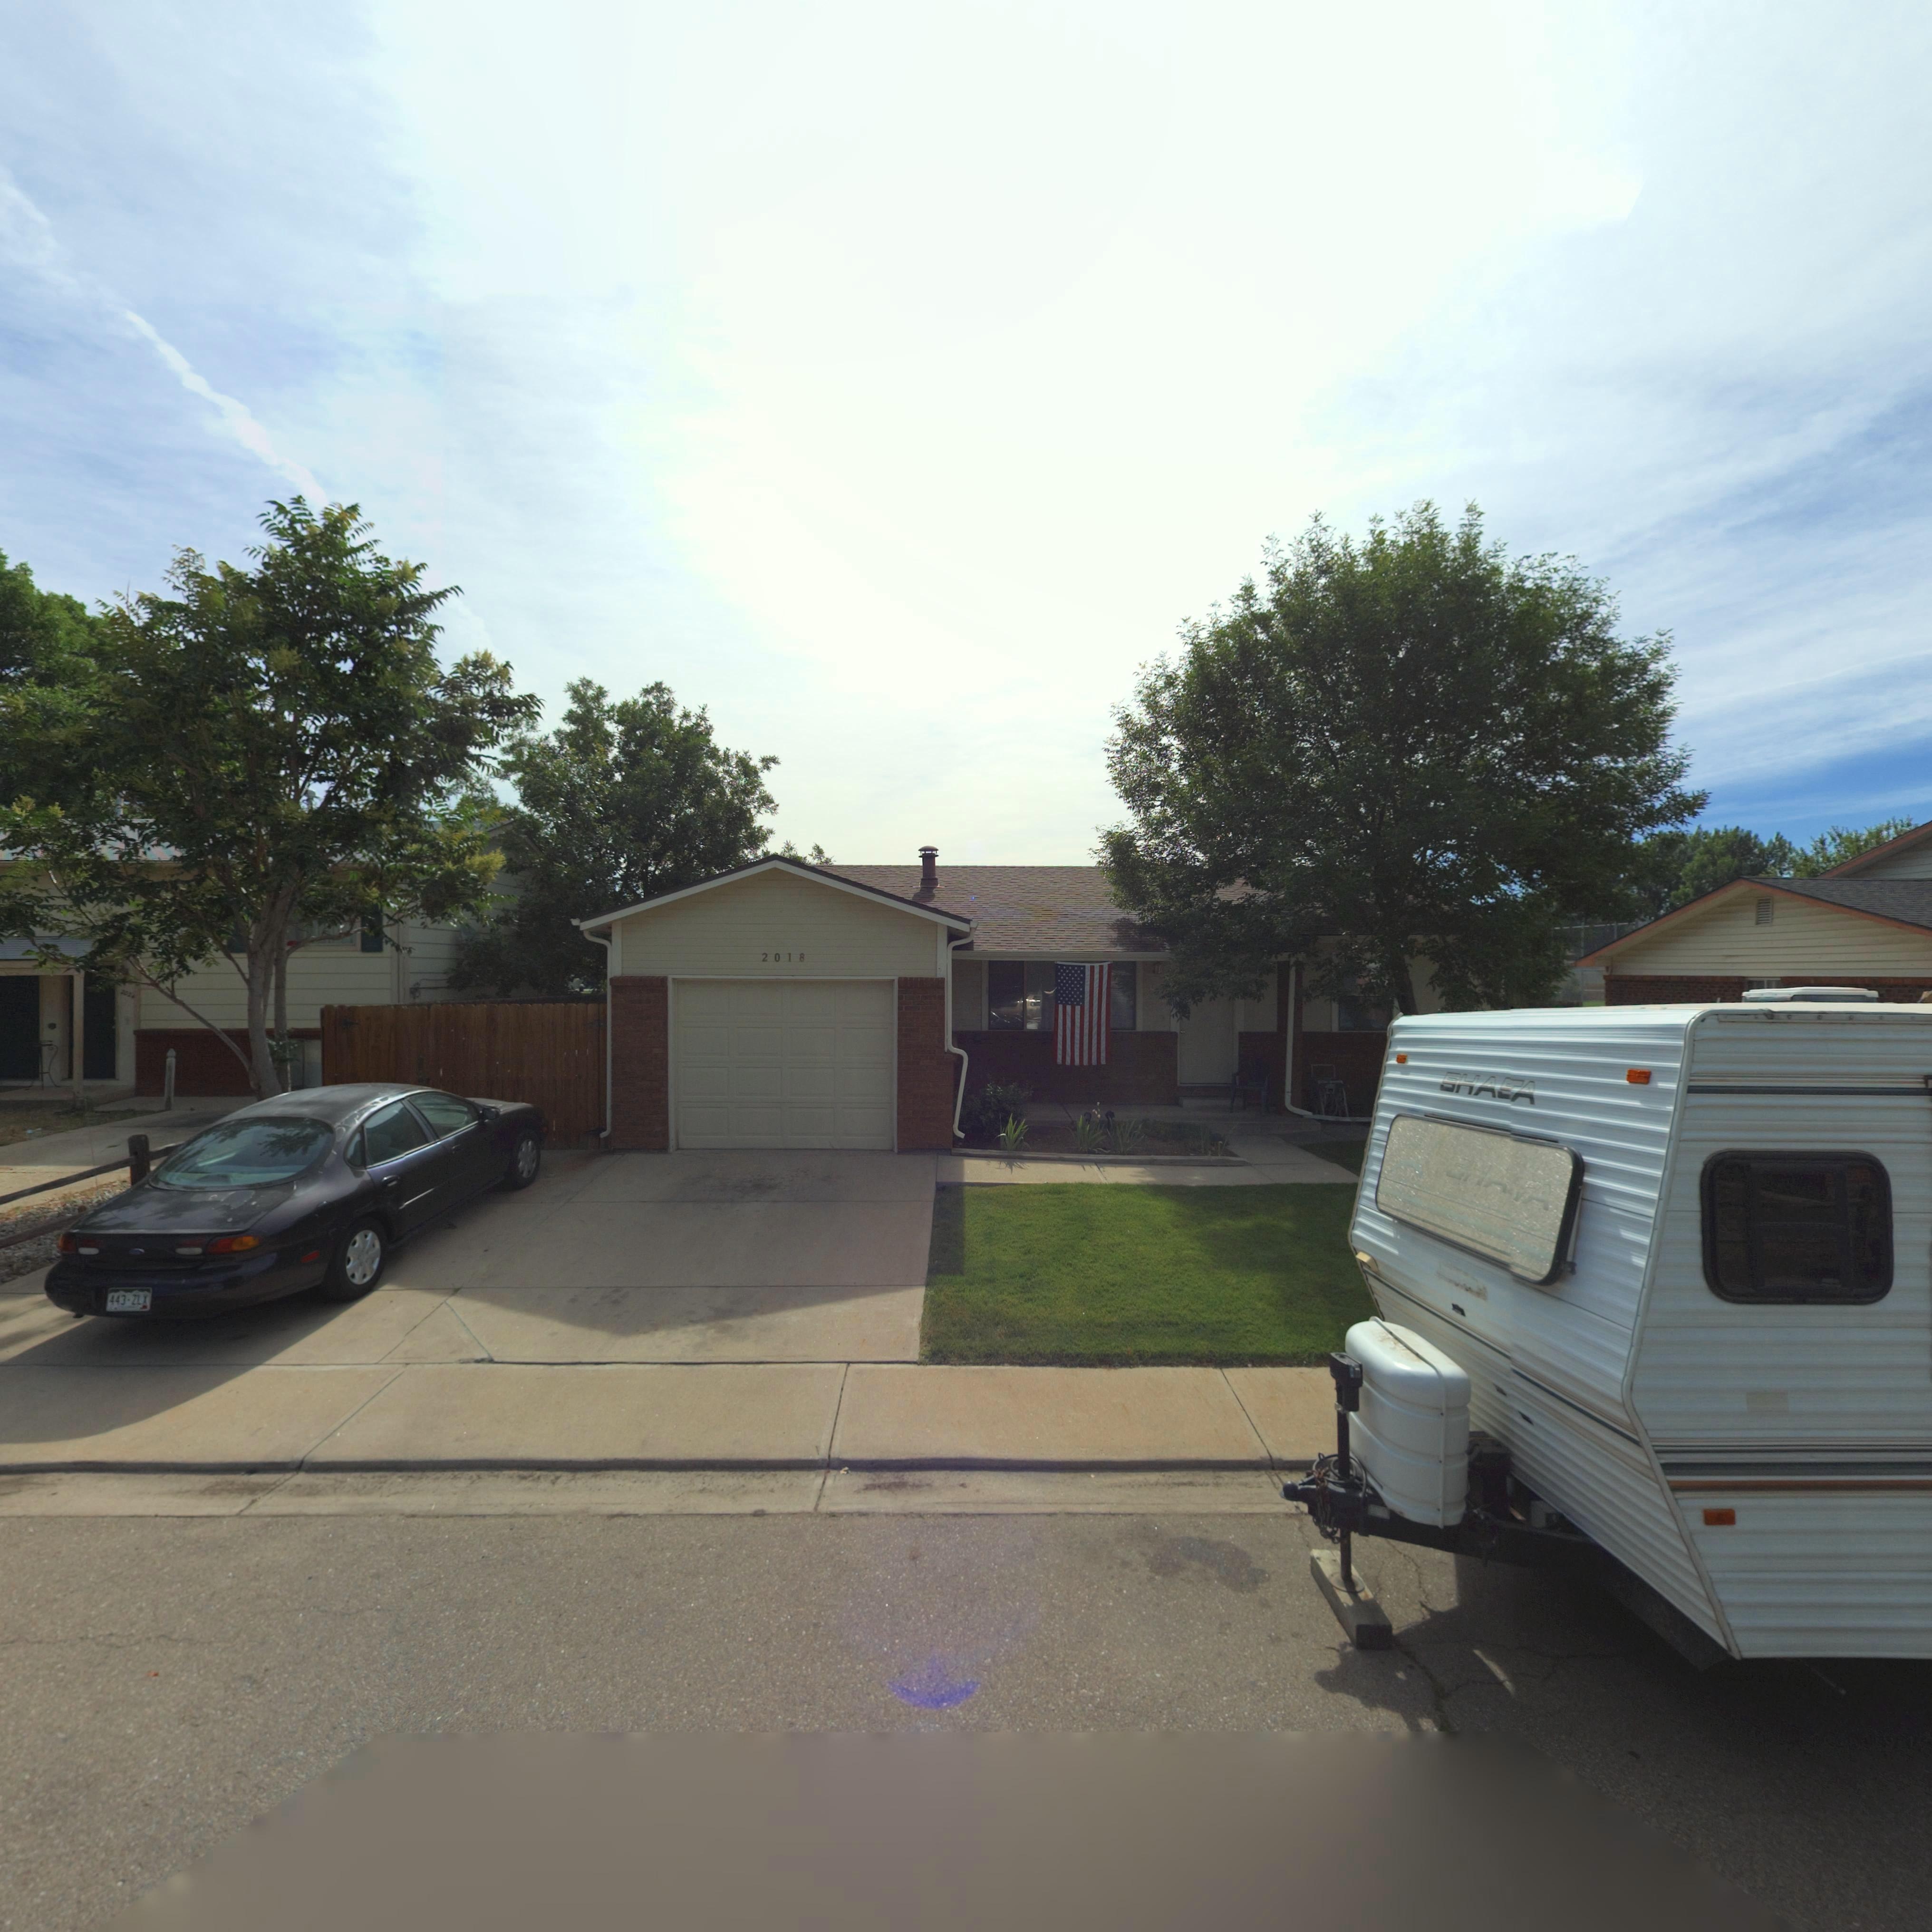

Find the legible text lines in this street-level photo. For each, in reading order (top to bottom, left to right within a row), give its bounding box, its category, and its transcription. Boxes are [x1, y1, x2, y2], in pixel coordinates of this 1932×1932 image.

[761, 952, 805, 962] StreetNumber: 2018